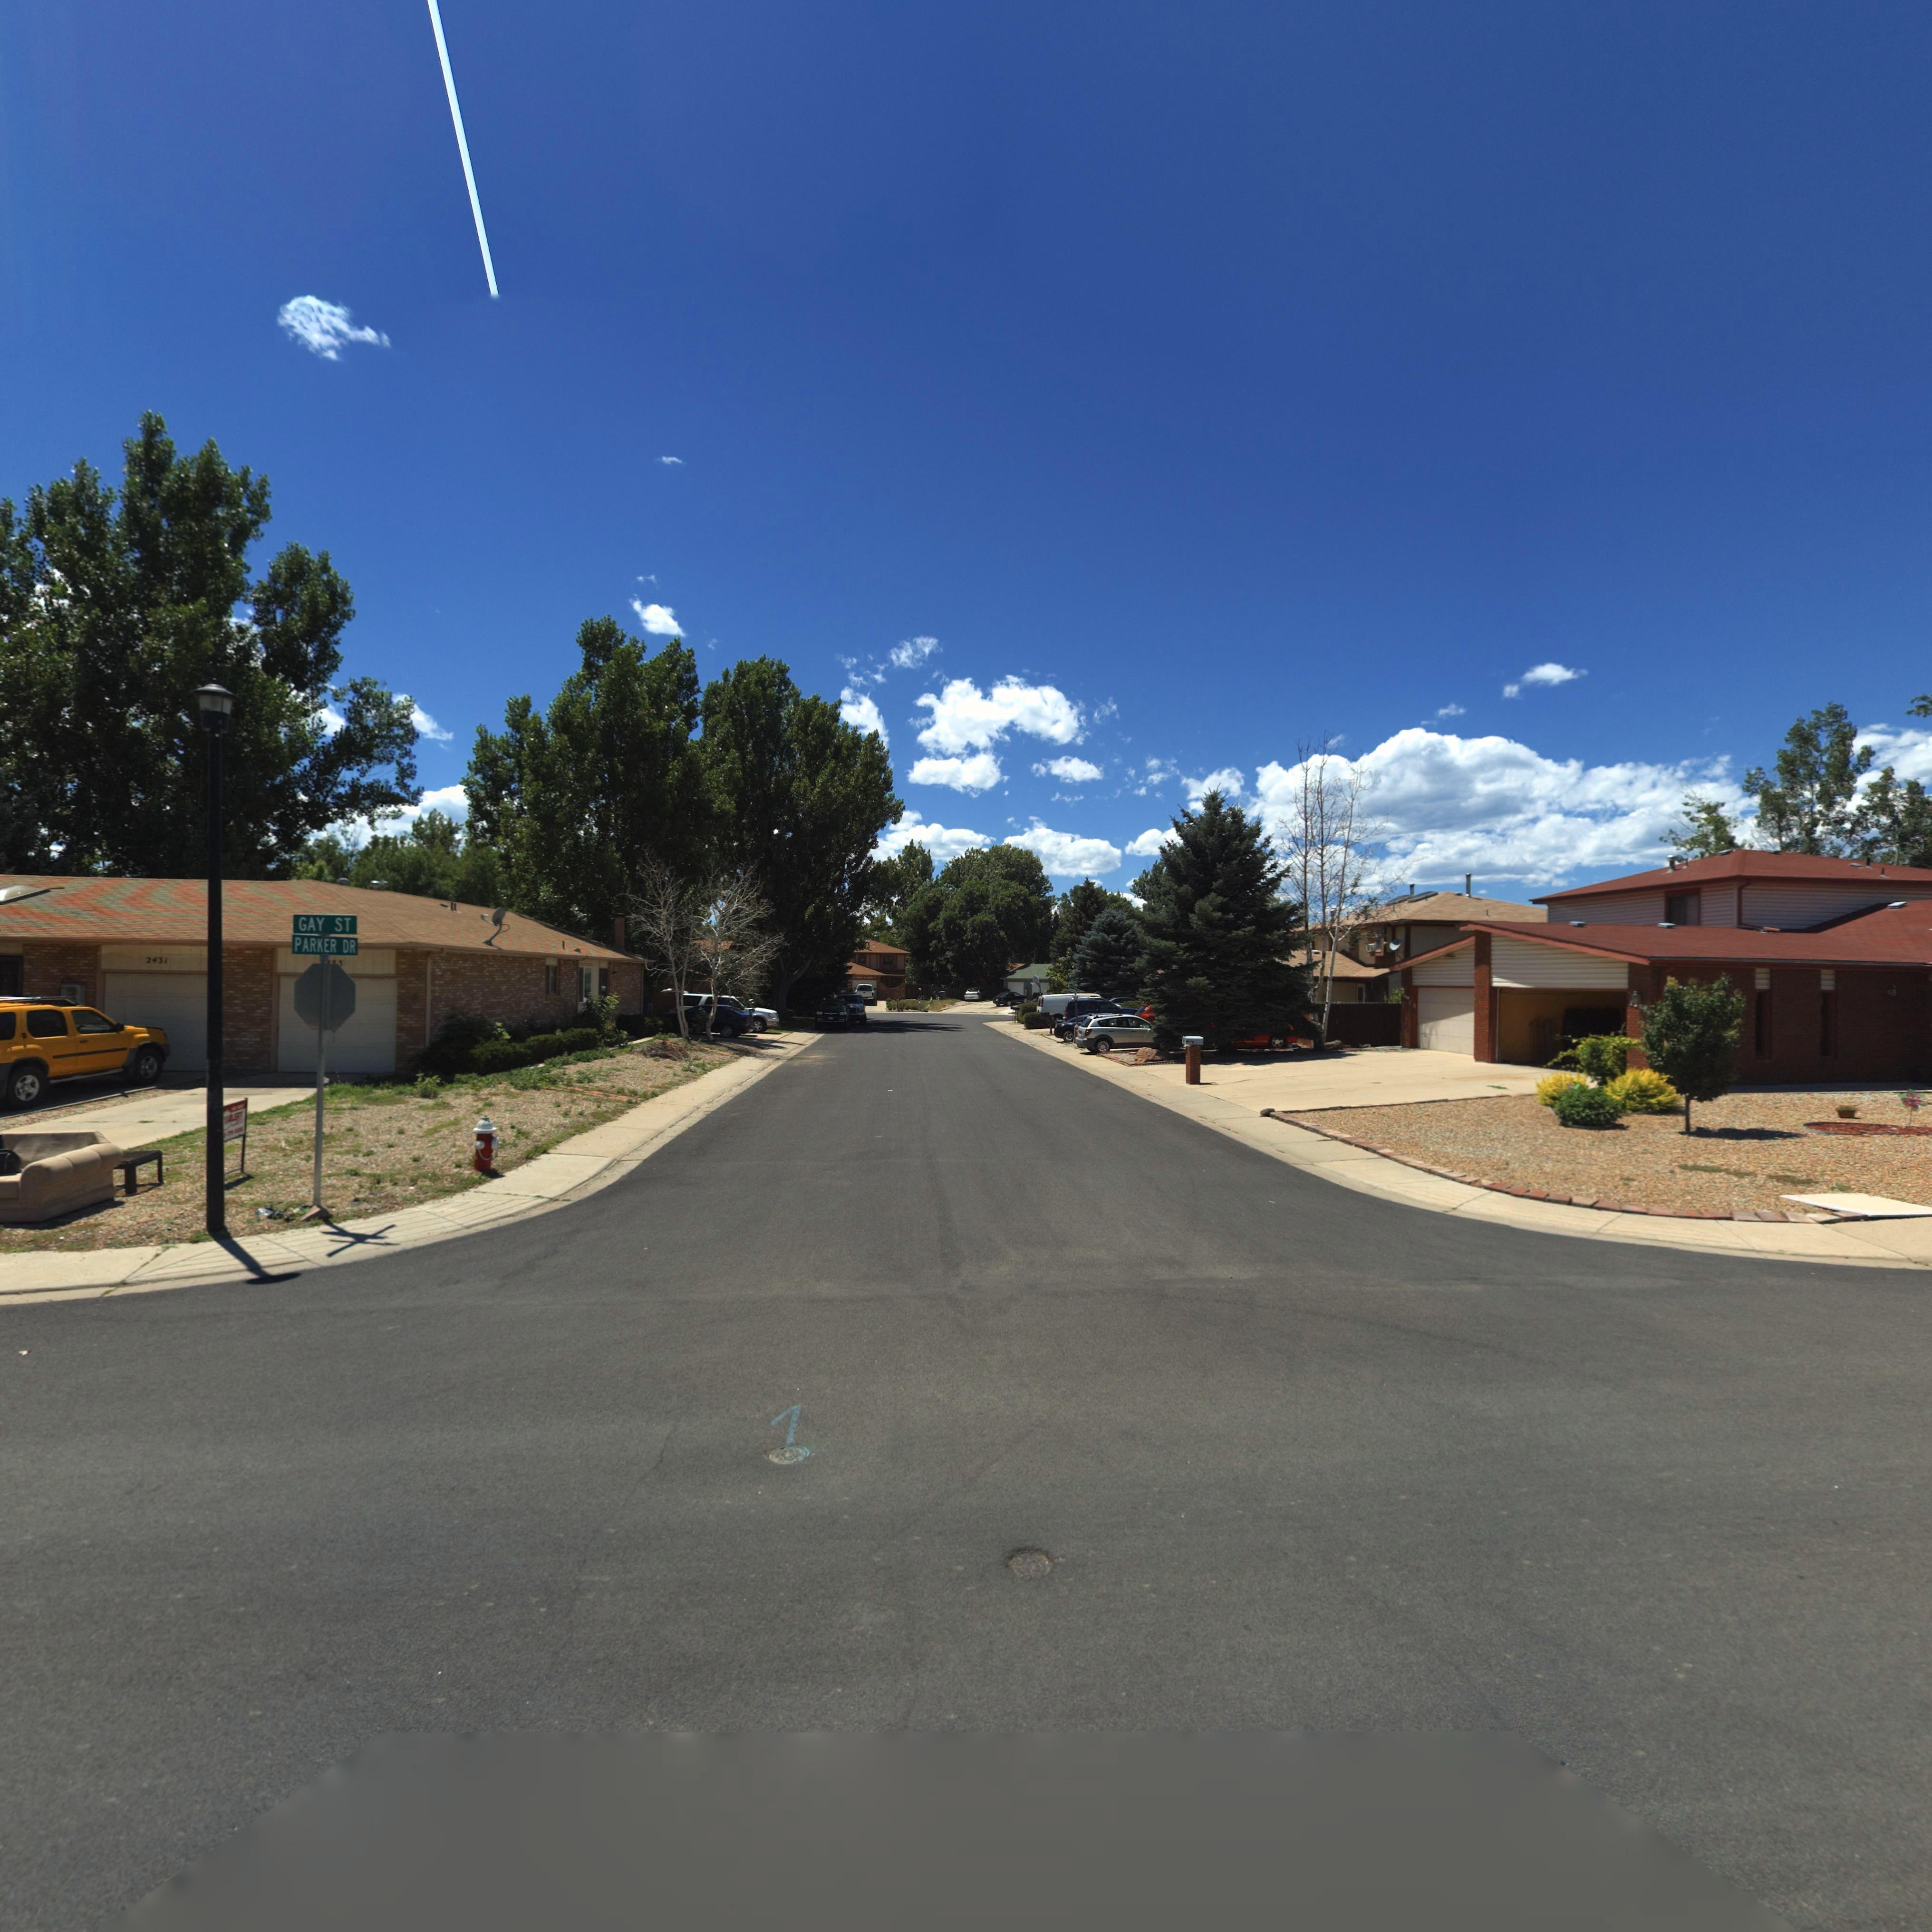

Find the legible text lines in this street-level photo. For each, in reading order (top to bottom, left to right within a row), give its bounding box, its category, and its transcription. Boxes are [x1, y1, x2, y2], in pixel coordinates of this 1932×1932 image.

[298, 916, 352, 933] StreetName: Gay St
[294, 937, 356, 954] StreetName: PARKER DR
[145, 956, 168, 964] StreetNumber: 2431
[338, 959, 343, 966] StreetNumber: 3